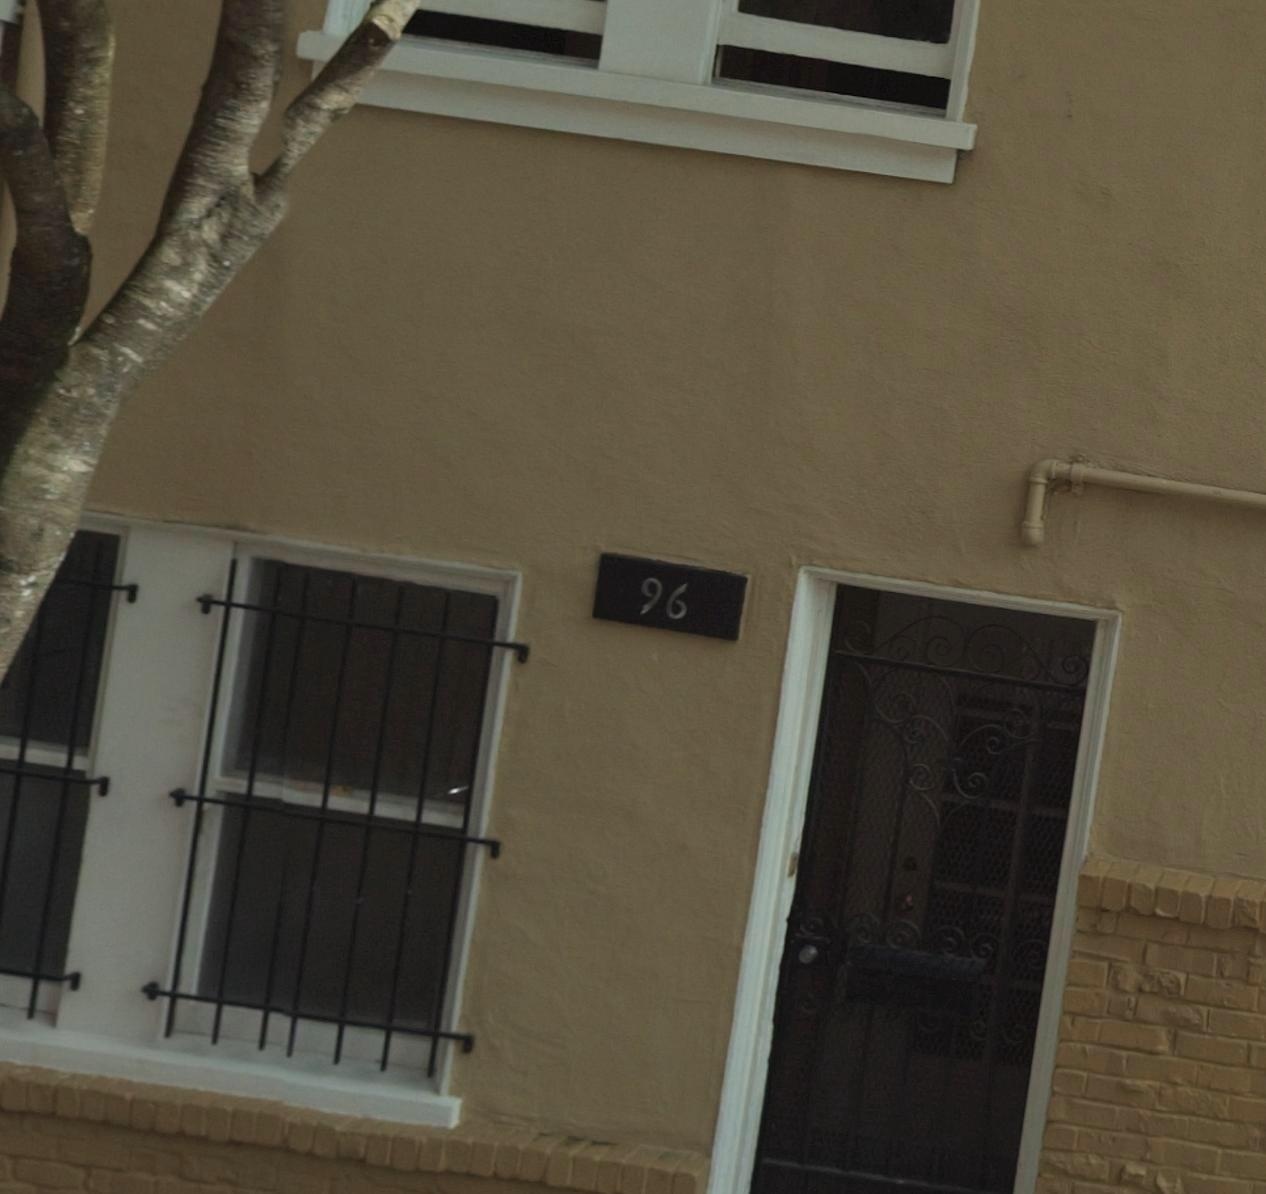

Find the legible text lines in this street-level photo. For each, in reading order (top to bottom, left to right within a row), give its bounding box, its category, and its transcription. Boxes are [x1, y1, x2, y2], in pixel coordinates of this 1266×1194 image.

[633, 575, 690, 625] StreetNumber: 96